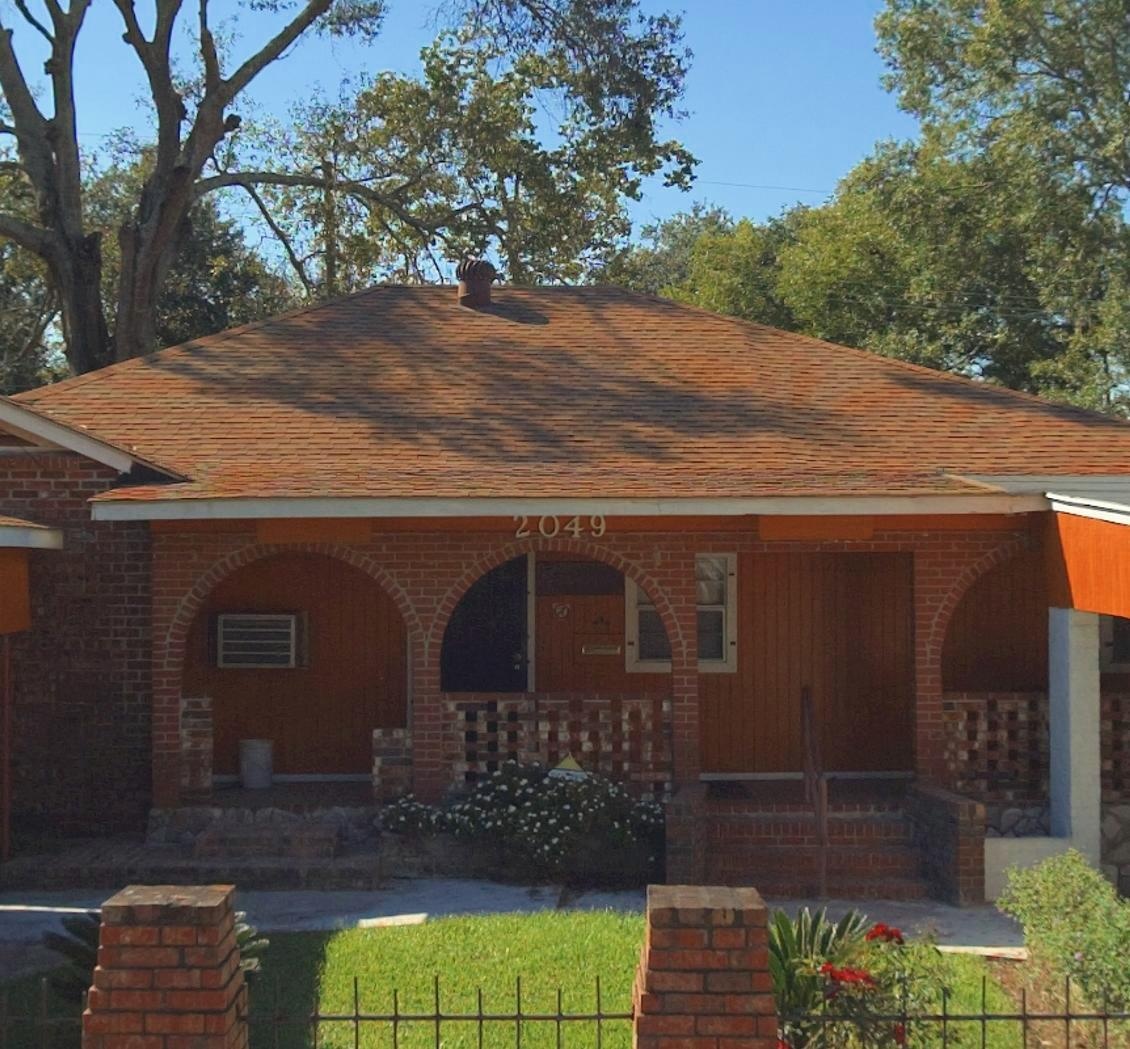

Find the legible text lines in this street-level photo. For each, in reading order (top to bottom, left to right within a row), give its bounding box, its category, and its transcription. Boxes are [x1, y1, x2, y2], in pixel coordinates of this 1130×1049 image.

[512, 514, 607, 540] StreetNumber: 2049